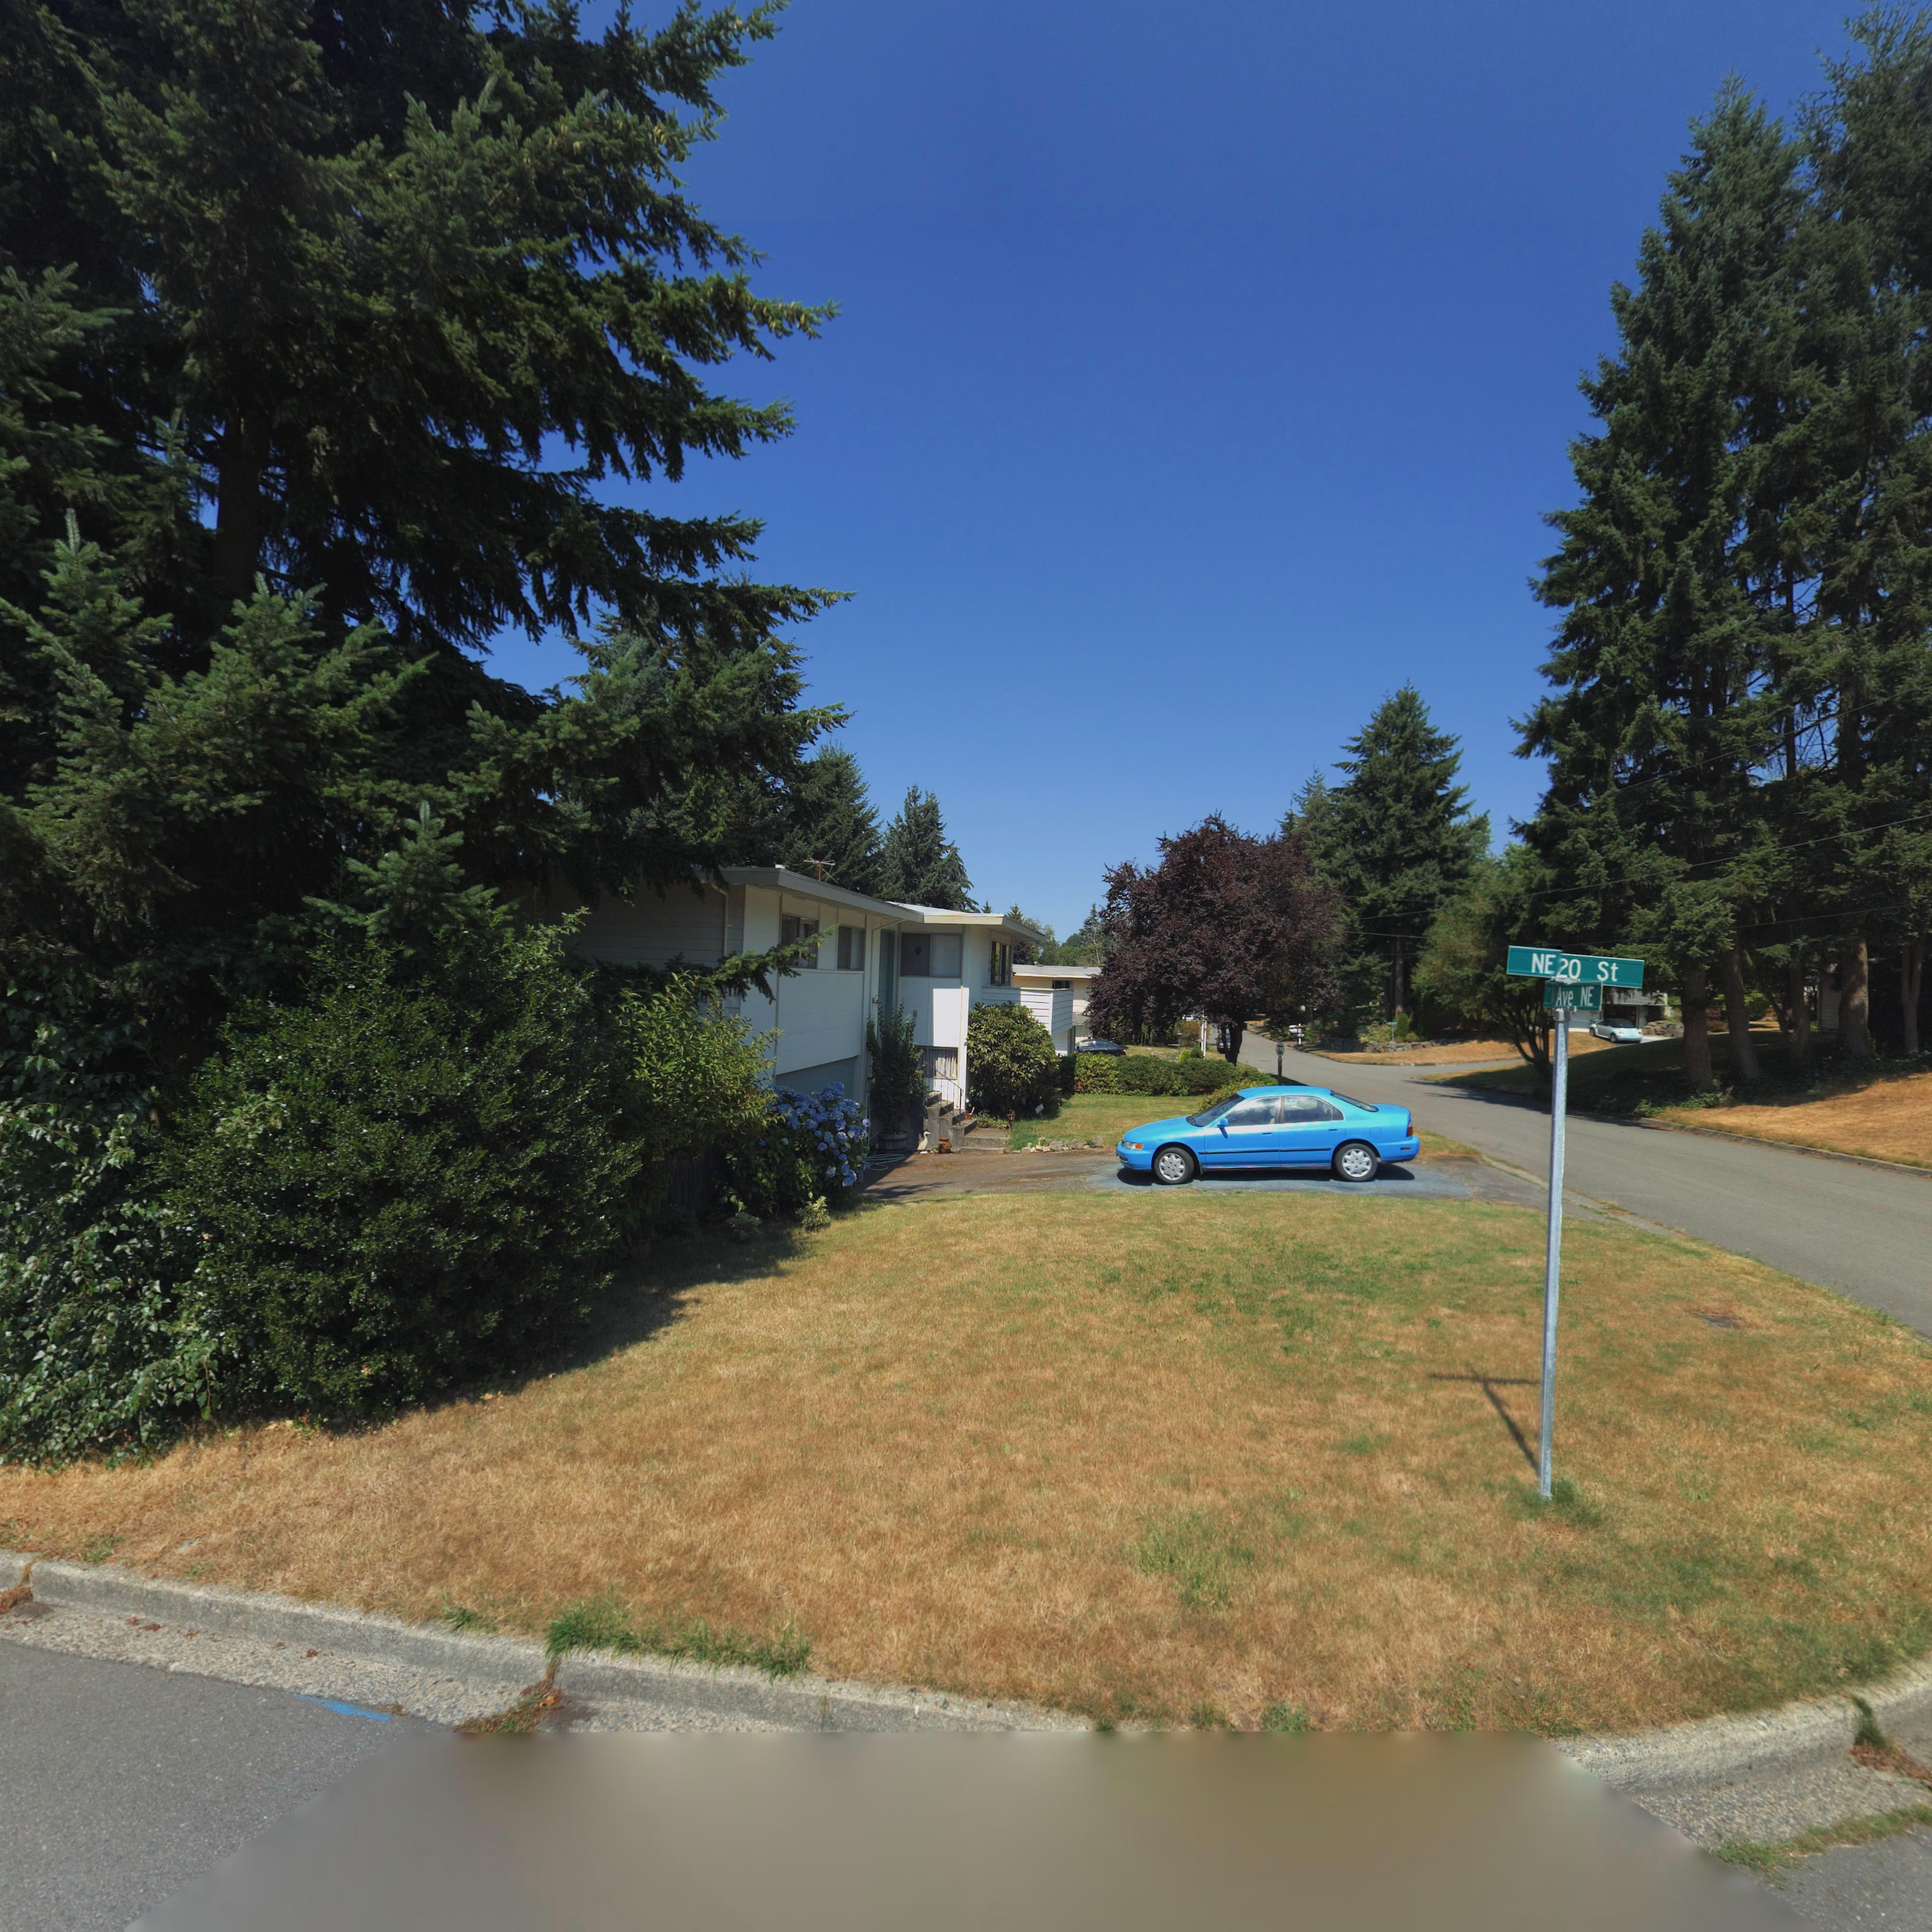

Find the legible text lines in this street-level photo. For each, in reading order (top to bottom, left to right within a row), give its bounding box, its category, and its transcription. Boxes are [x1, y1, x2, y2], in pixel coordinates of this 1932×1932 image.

[1531, 953, 1618, 982] StreetName: NE *O st
[1554, 986, 1594, 1006] StreetName: AVE NE